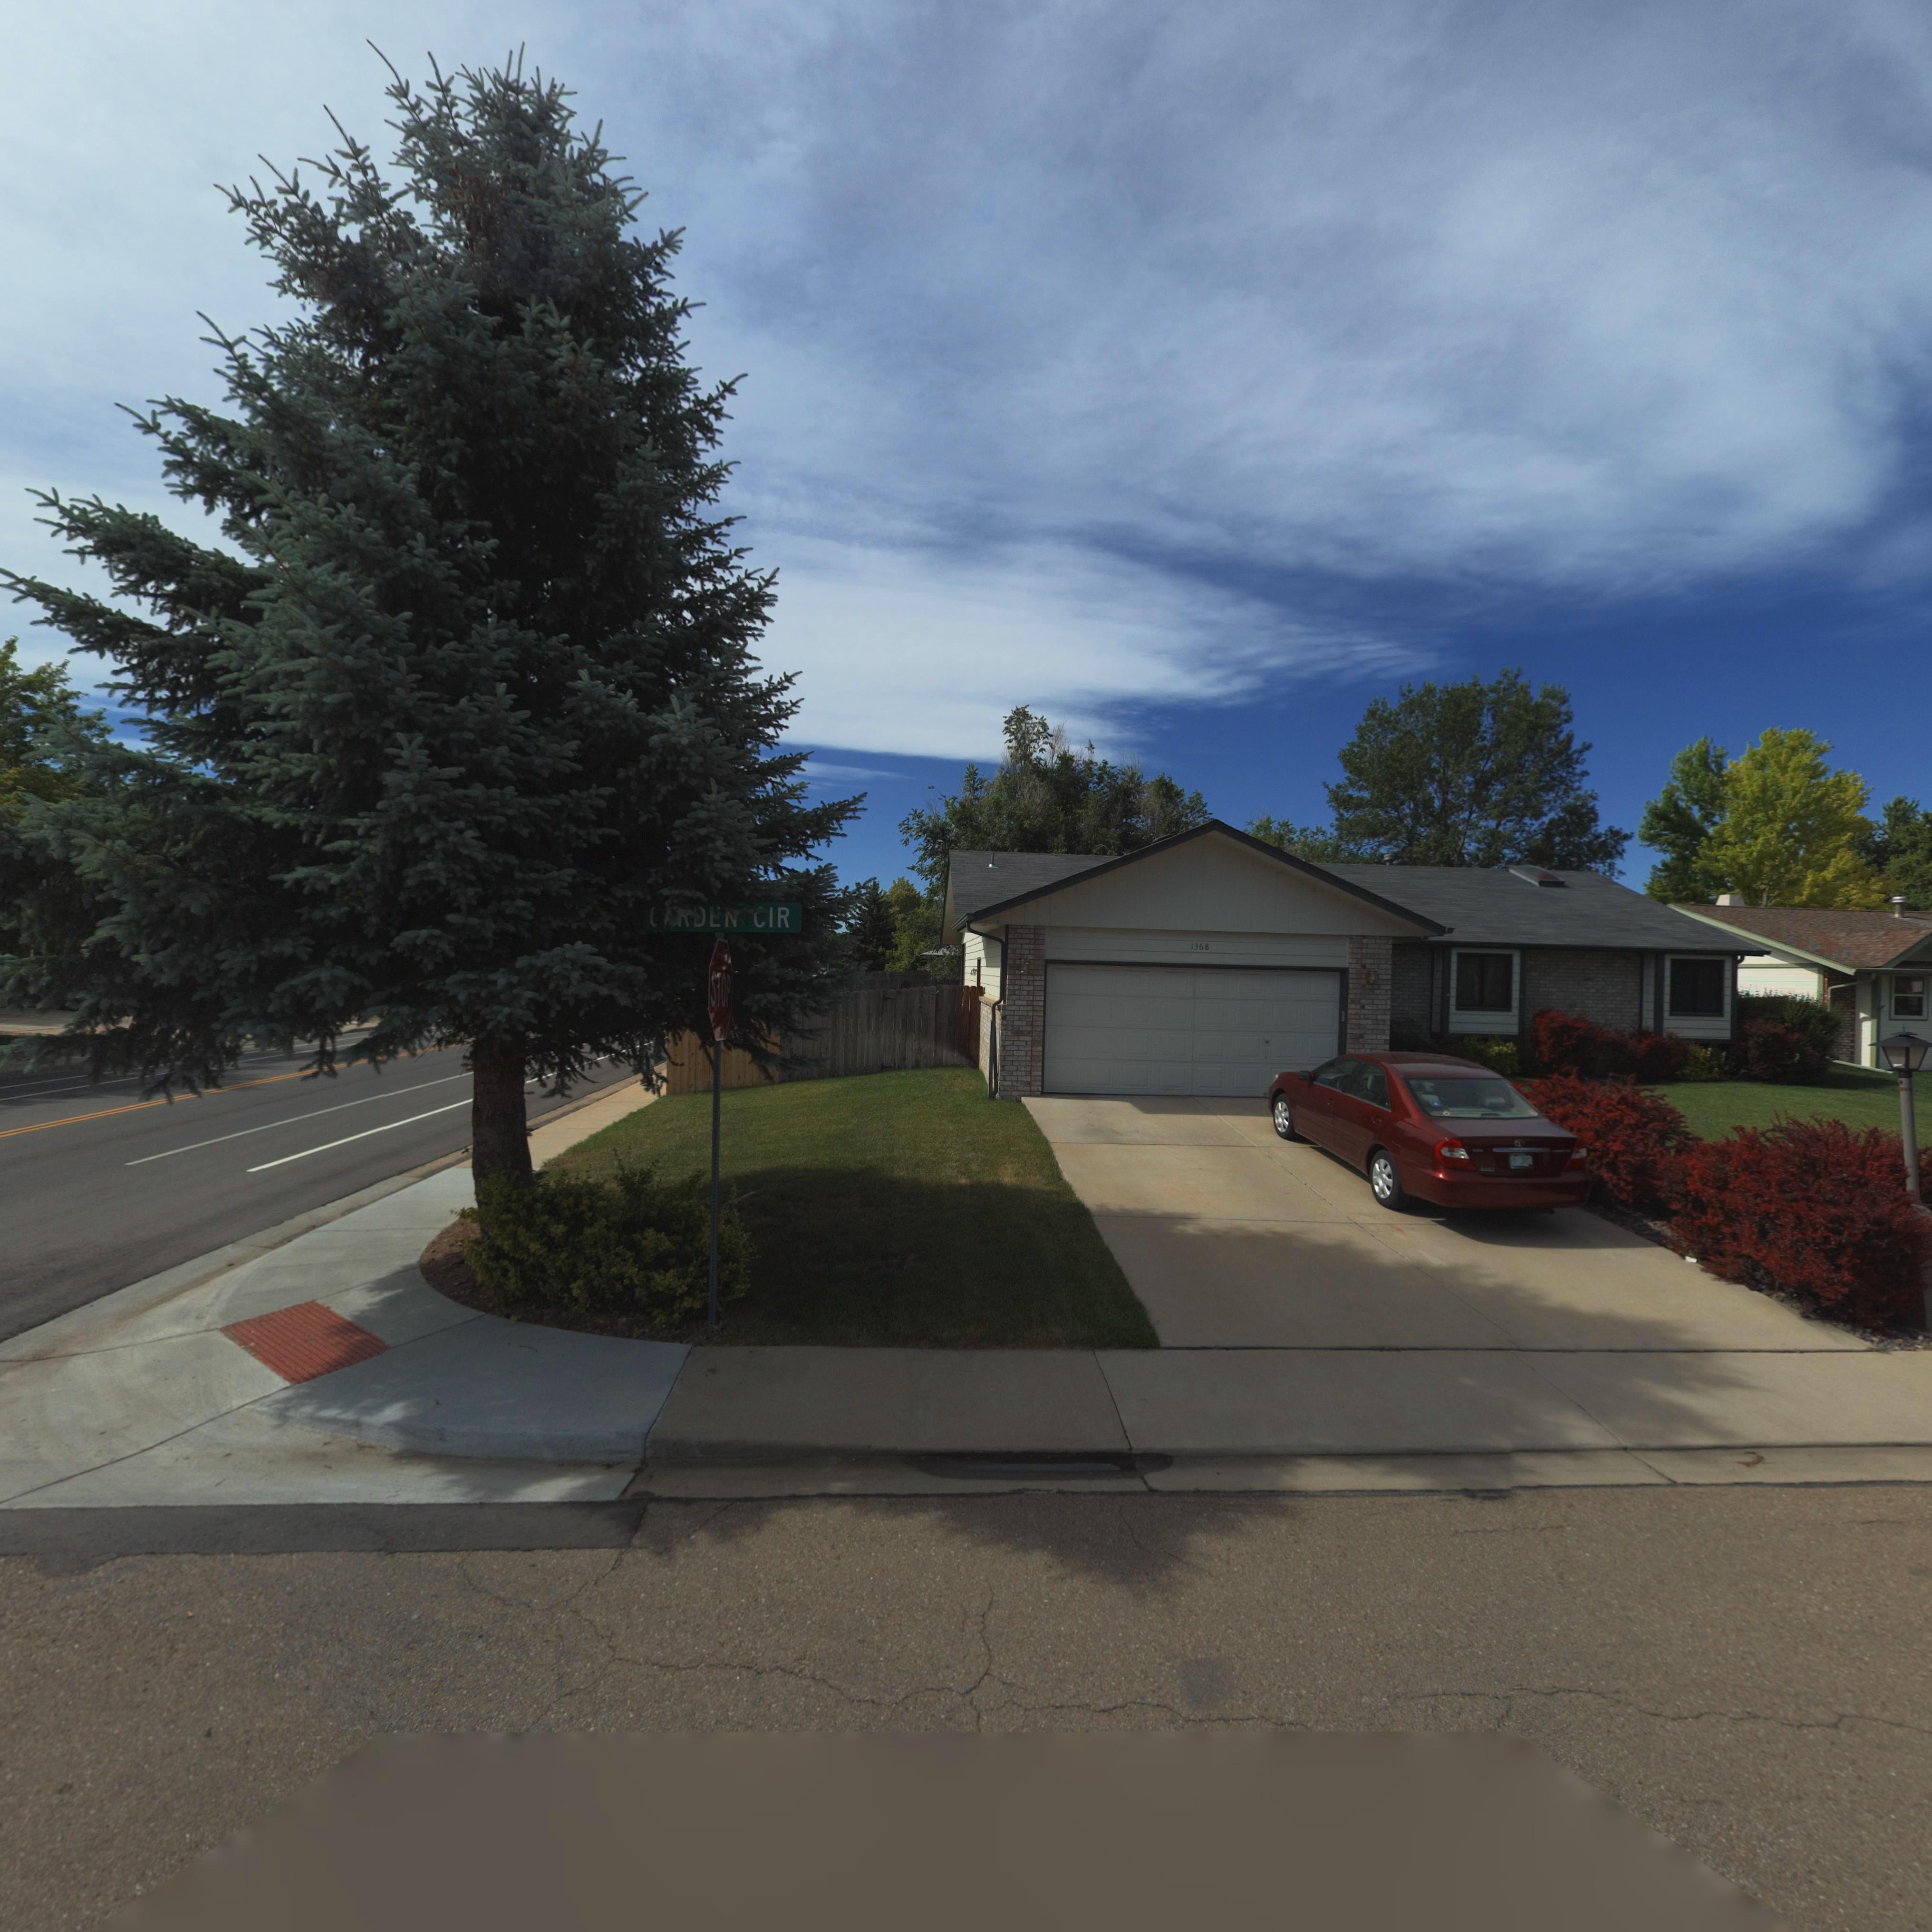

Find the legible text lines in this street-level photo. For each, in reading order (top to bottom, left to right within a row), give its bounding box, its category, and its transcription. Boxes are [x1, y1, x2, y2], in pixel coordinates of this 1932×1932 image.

[1190, 942, 1209, 951] StreetNumber: 1368